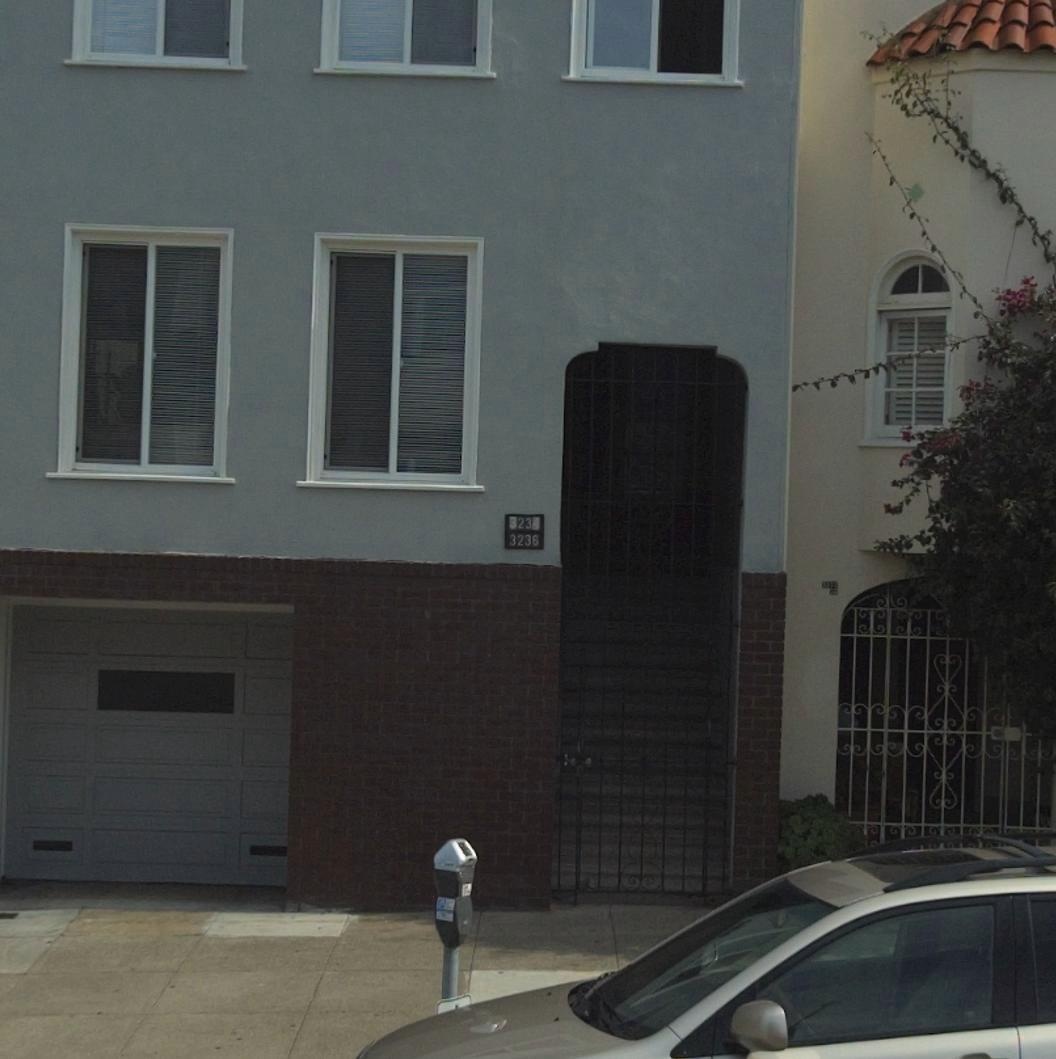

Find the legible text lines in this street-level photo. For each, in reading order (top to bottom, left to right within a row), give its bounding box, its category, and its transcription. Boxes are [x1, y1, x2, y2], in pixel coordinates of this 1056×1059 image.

[509, 515, 541, 531] StreetNumber: 3234
[508, 532, 541, 549] StreetNumber: 3236